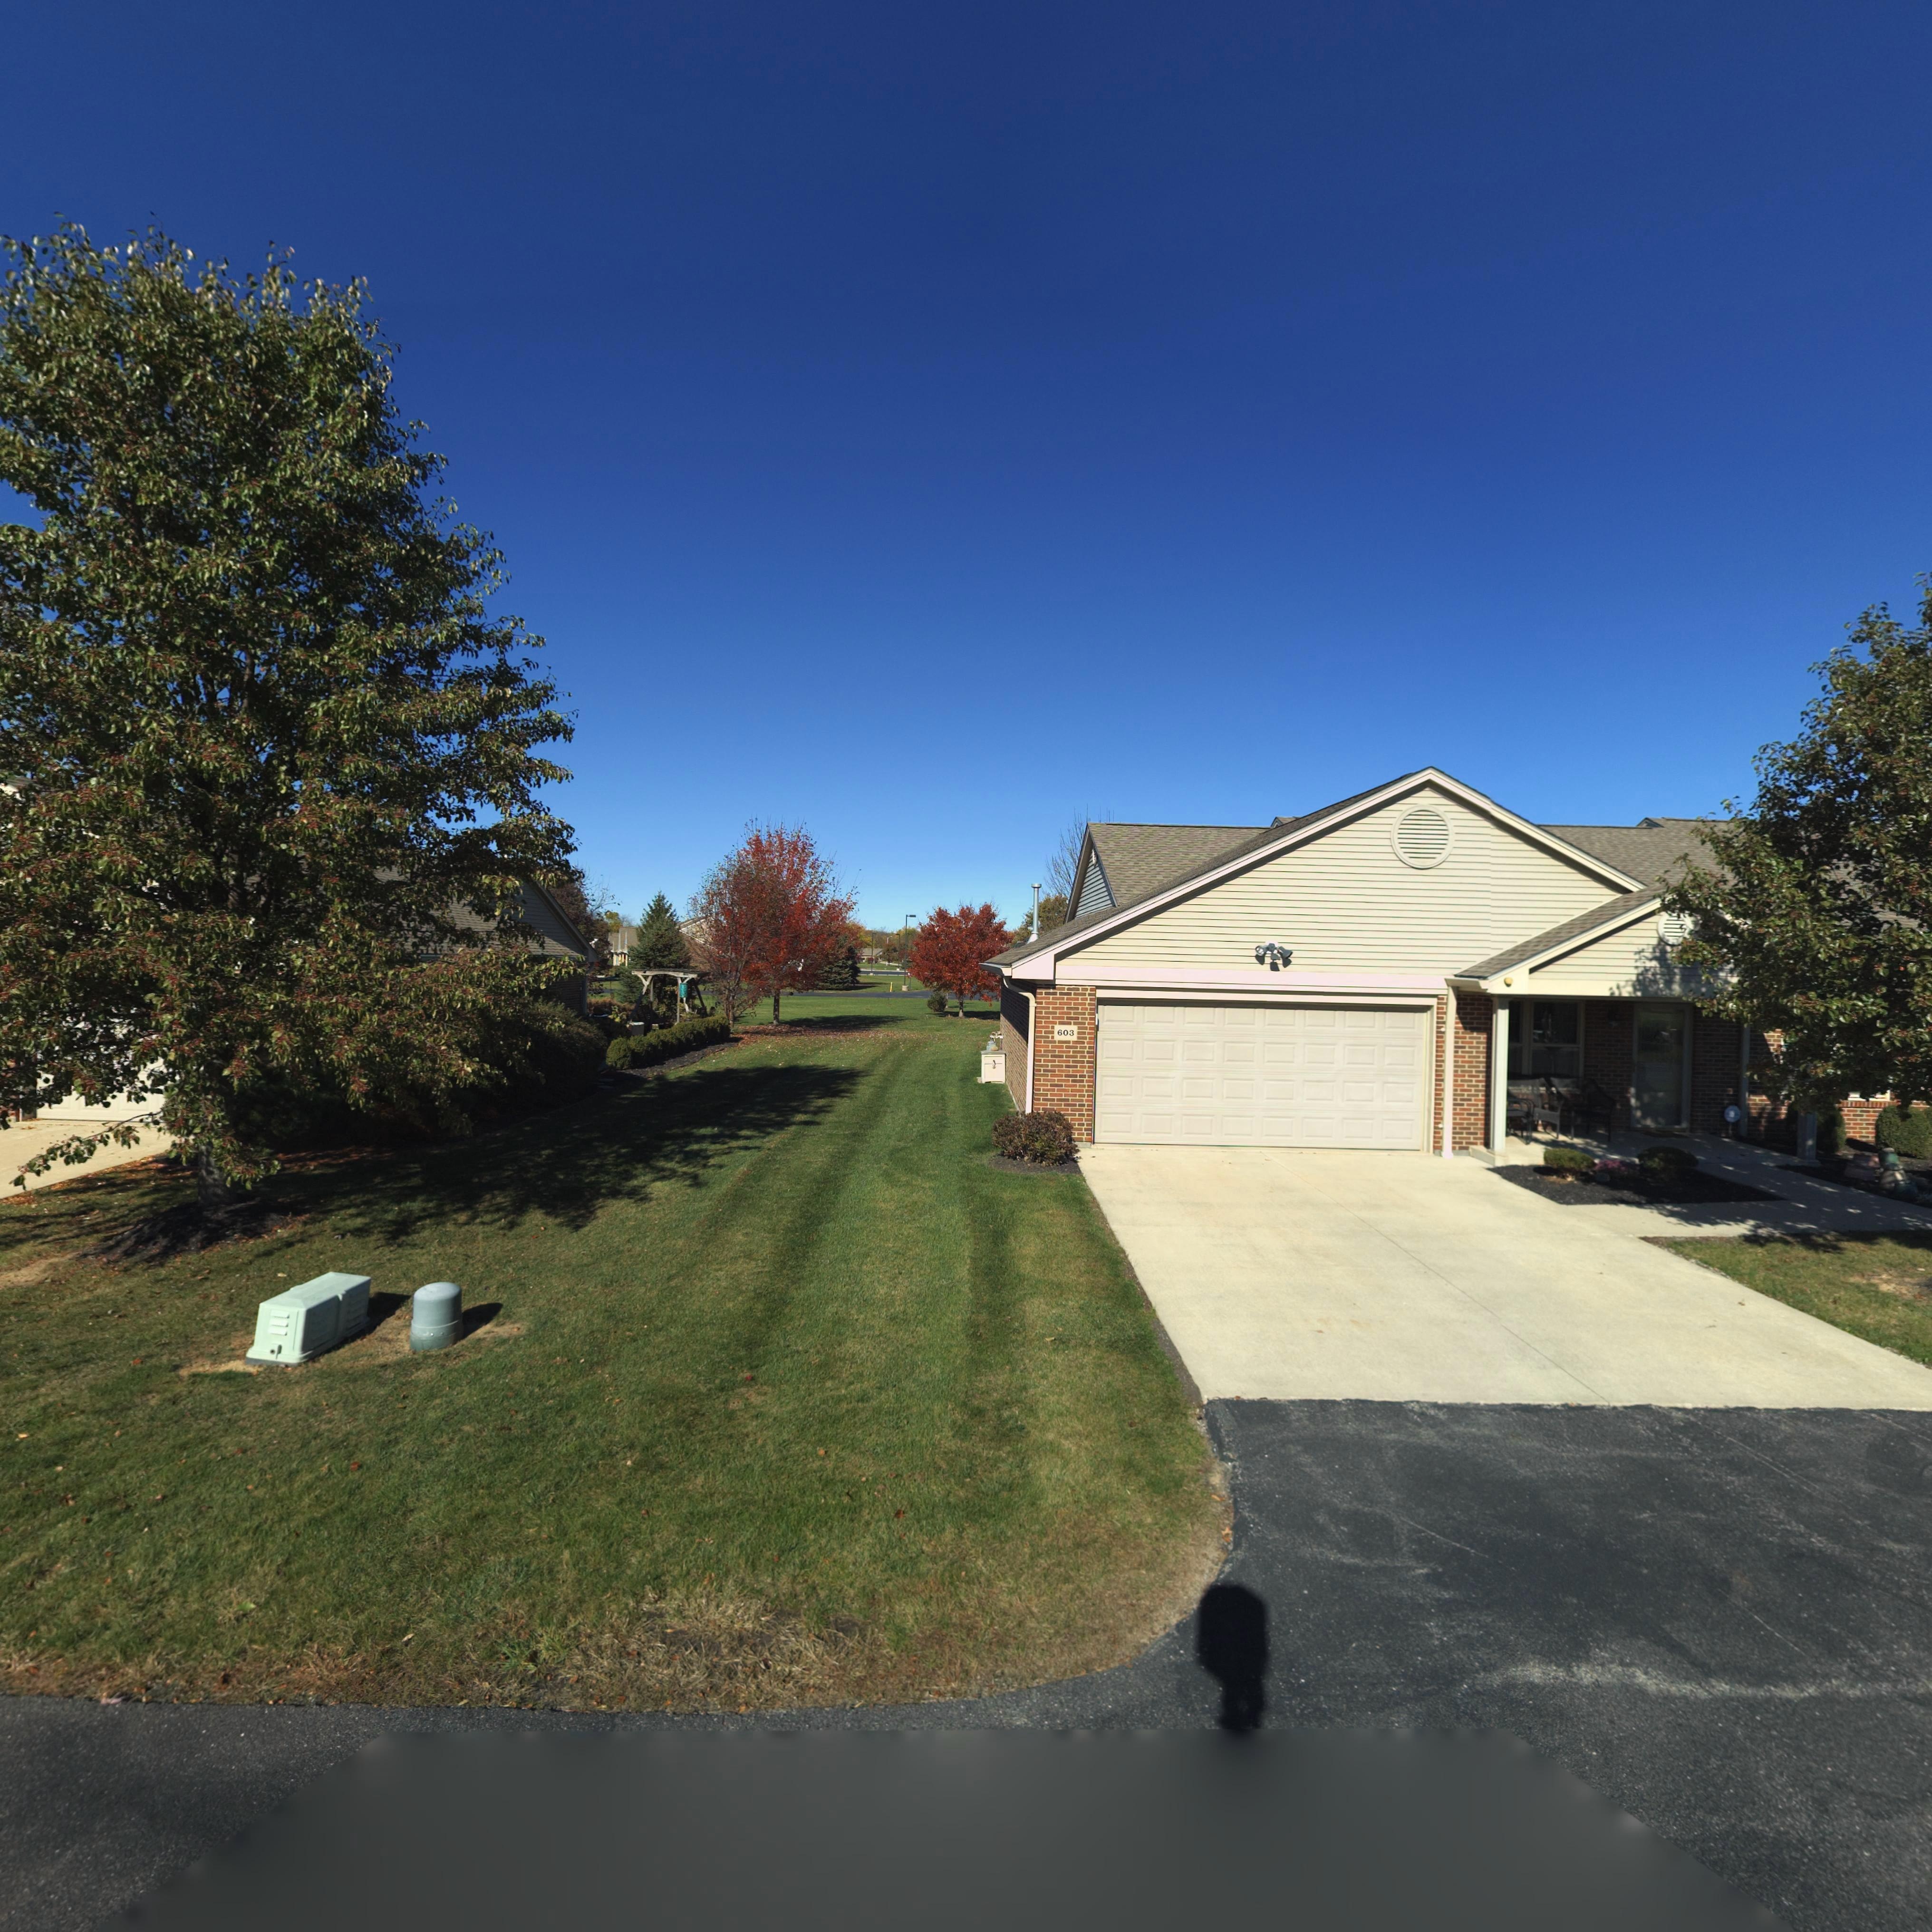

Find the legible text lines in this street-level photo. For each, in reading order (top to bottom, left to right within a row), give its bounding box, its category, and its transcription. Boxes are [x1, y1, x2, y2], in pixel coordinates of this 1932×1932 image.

[1057, 1029, 1074, 1036] StreetNumber: 603